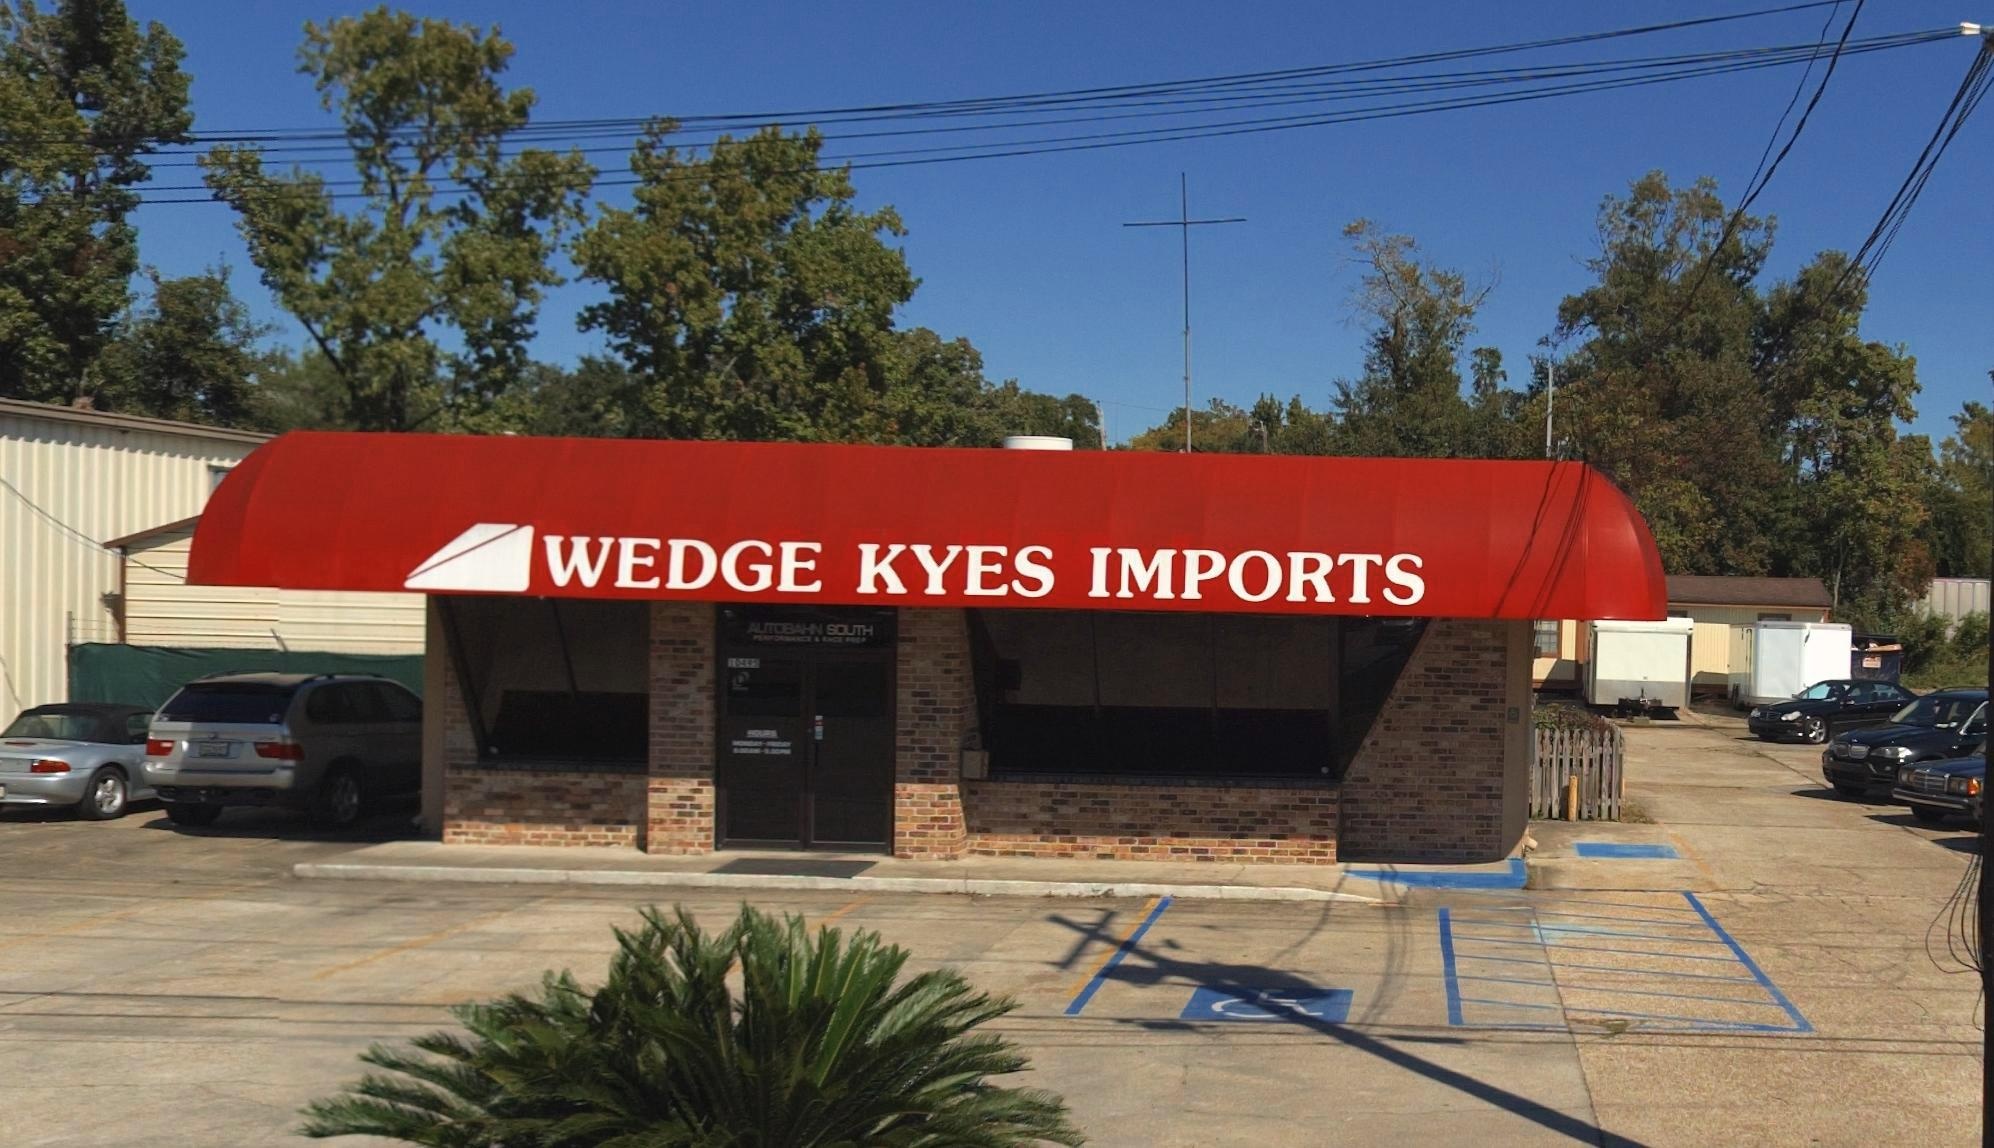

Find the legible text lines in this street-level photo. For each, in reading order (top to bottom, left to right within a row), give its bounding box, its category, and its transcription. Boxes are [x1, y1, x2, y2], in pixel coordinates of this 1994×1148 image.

[536, 532, 1431, 610] BusinessName: WEDGE KYES IMPORTS
[742, 619, 878, 638] None: AUTOBAHN SOUTH
[727, 657, 761, 669] StreetNumber: 1049*